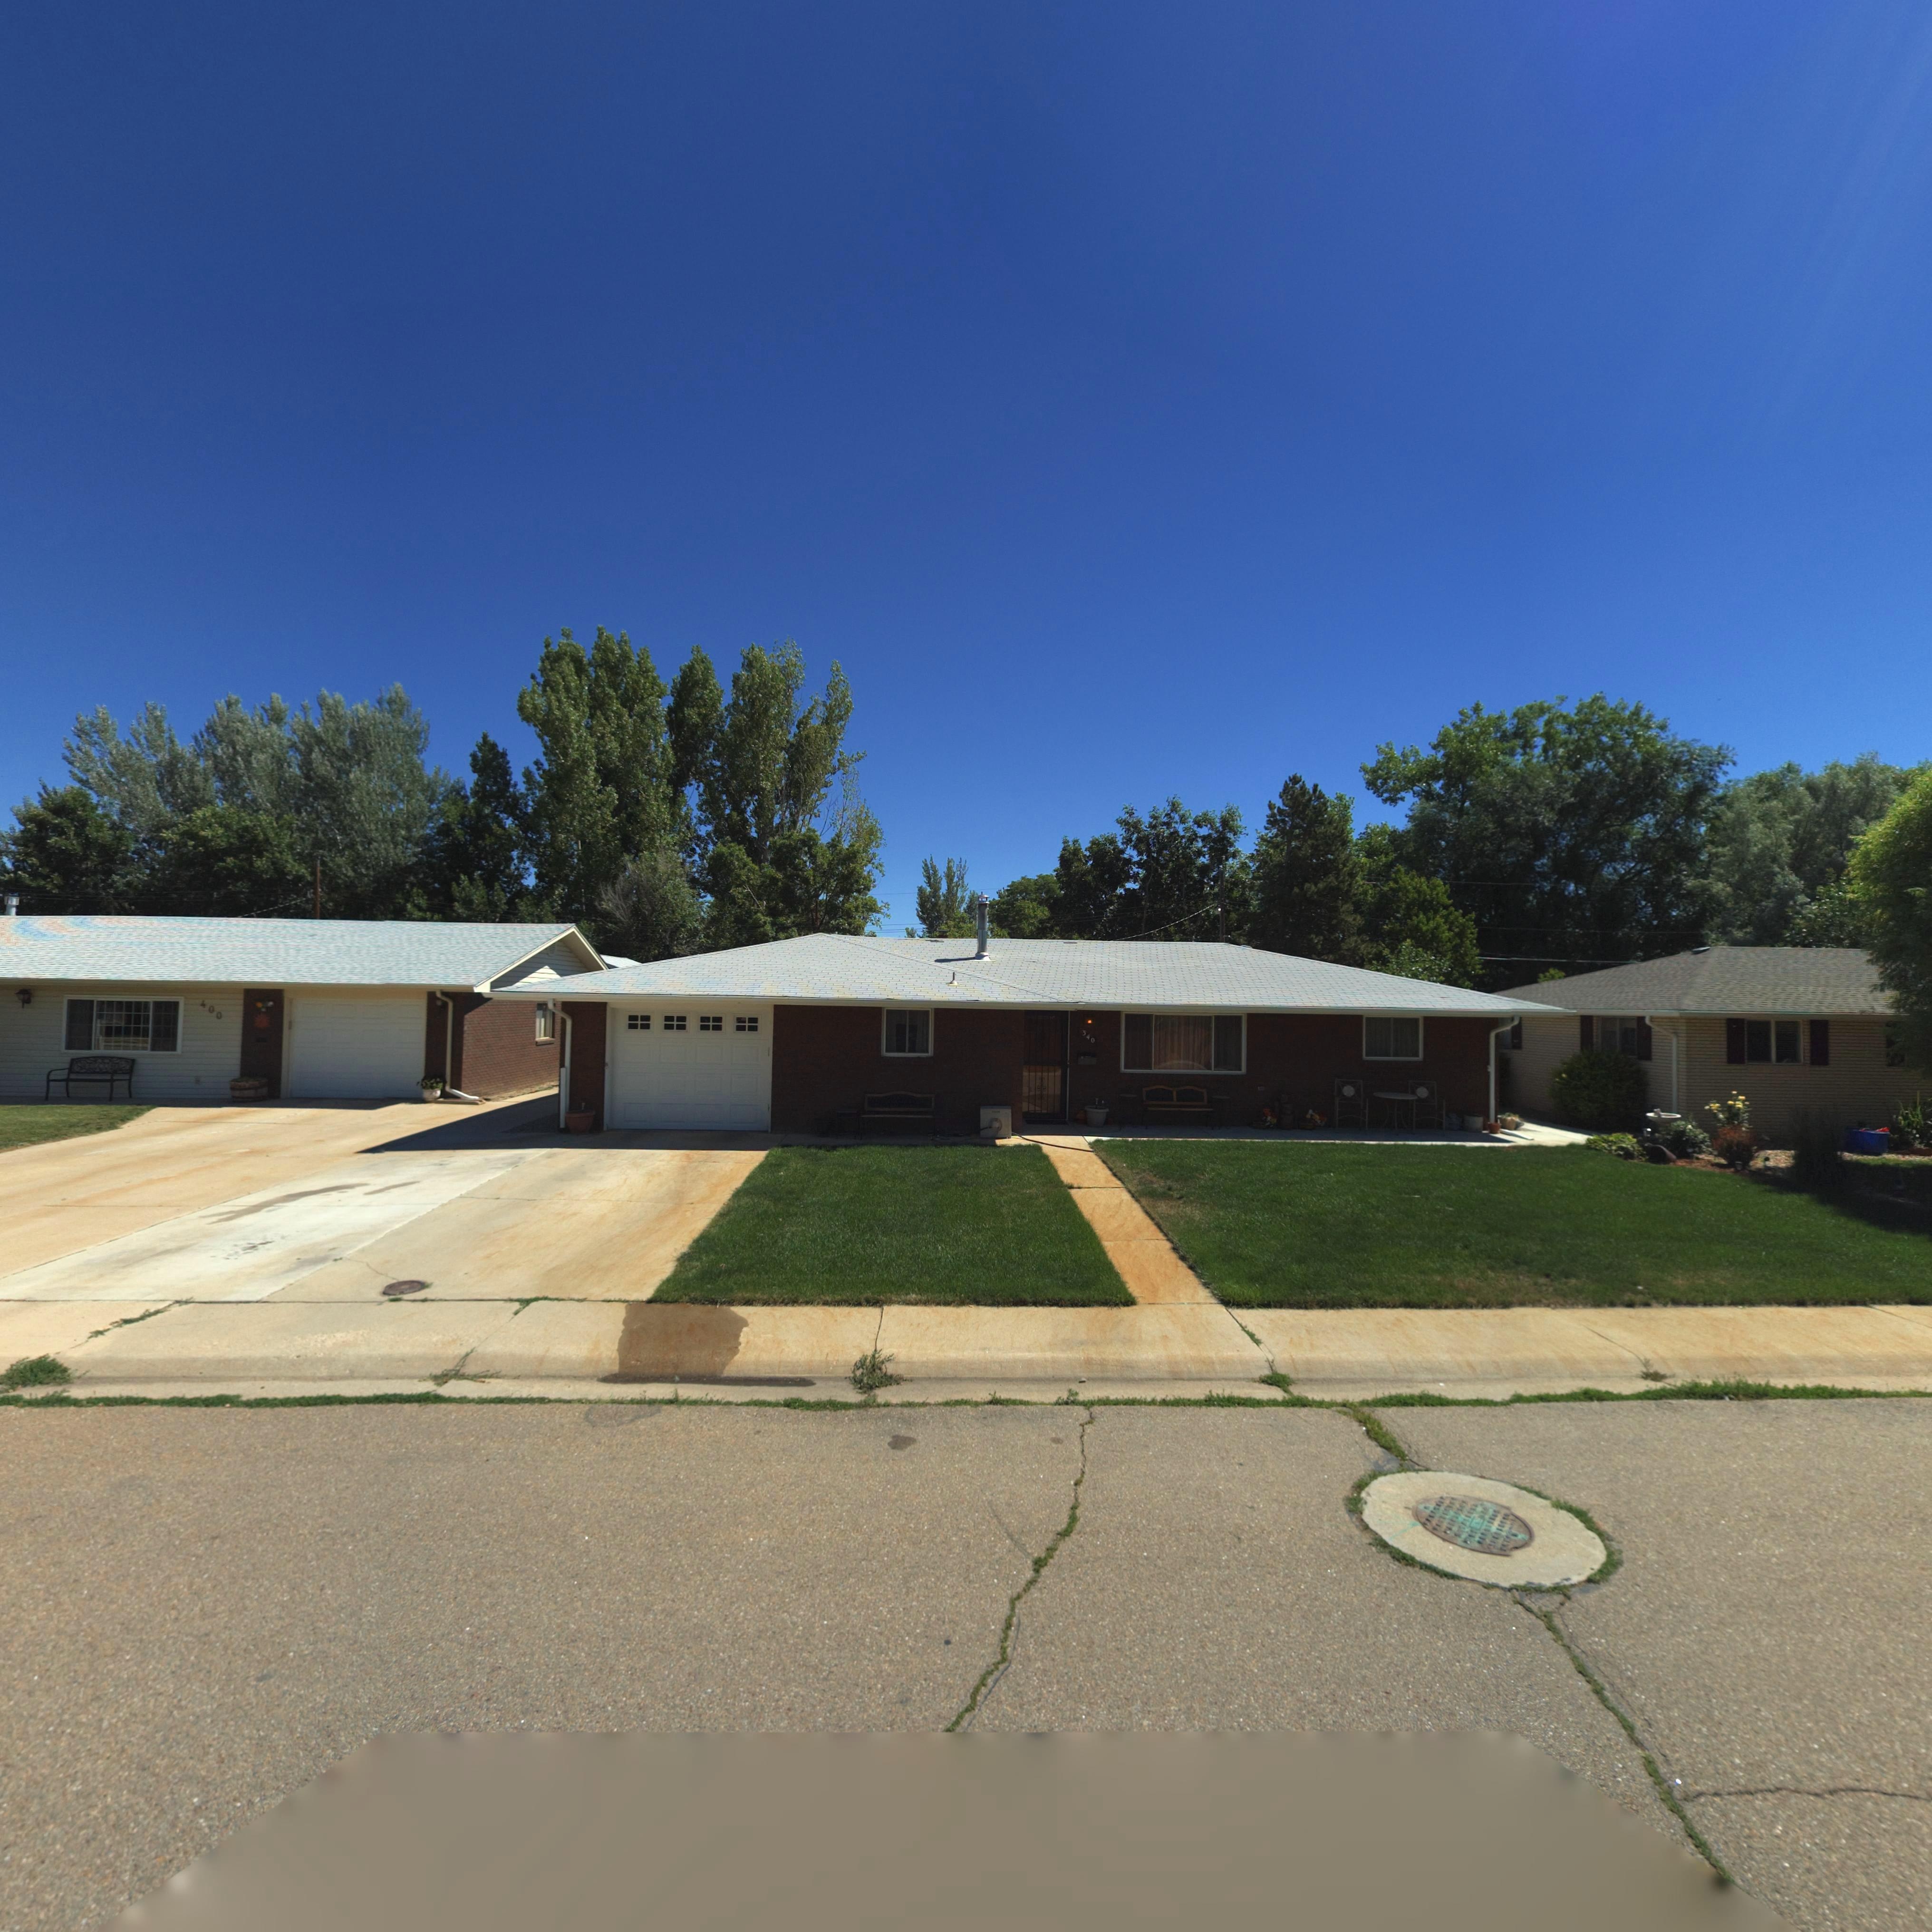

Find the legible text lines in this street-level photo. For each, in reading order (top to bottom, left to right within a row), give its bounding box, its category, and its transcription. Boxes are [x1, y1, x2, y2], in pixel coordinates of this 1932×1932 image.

[200, 998, 222, 1020] StreetNumber: 400
[1082, 1030, 1095, 1044] StreetNumber: 340